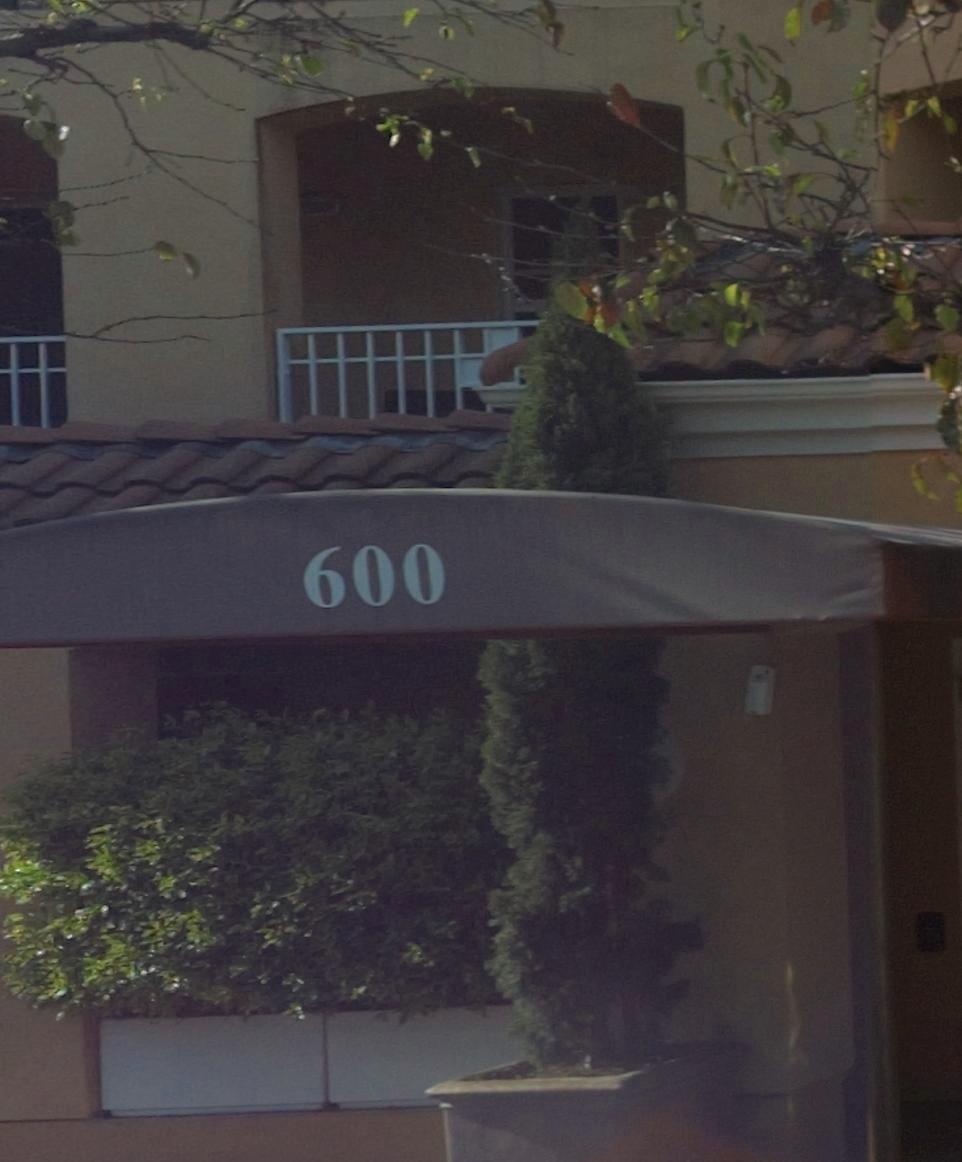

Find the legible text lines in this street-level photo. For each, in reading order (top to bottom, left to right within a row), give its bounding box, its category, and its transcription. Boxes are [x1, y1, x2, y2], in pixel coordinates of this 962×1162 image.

[295, 534, 448, 612] StreetNumber: 600